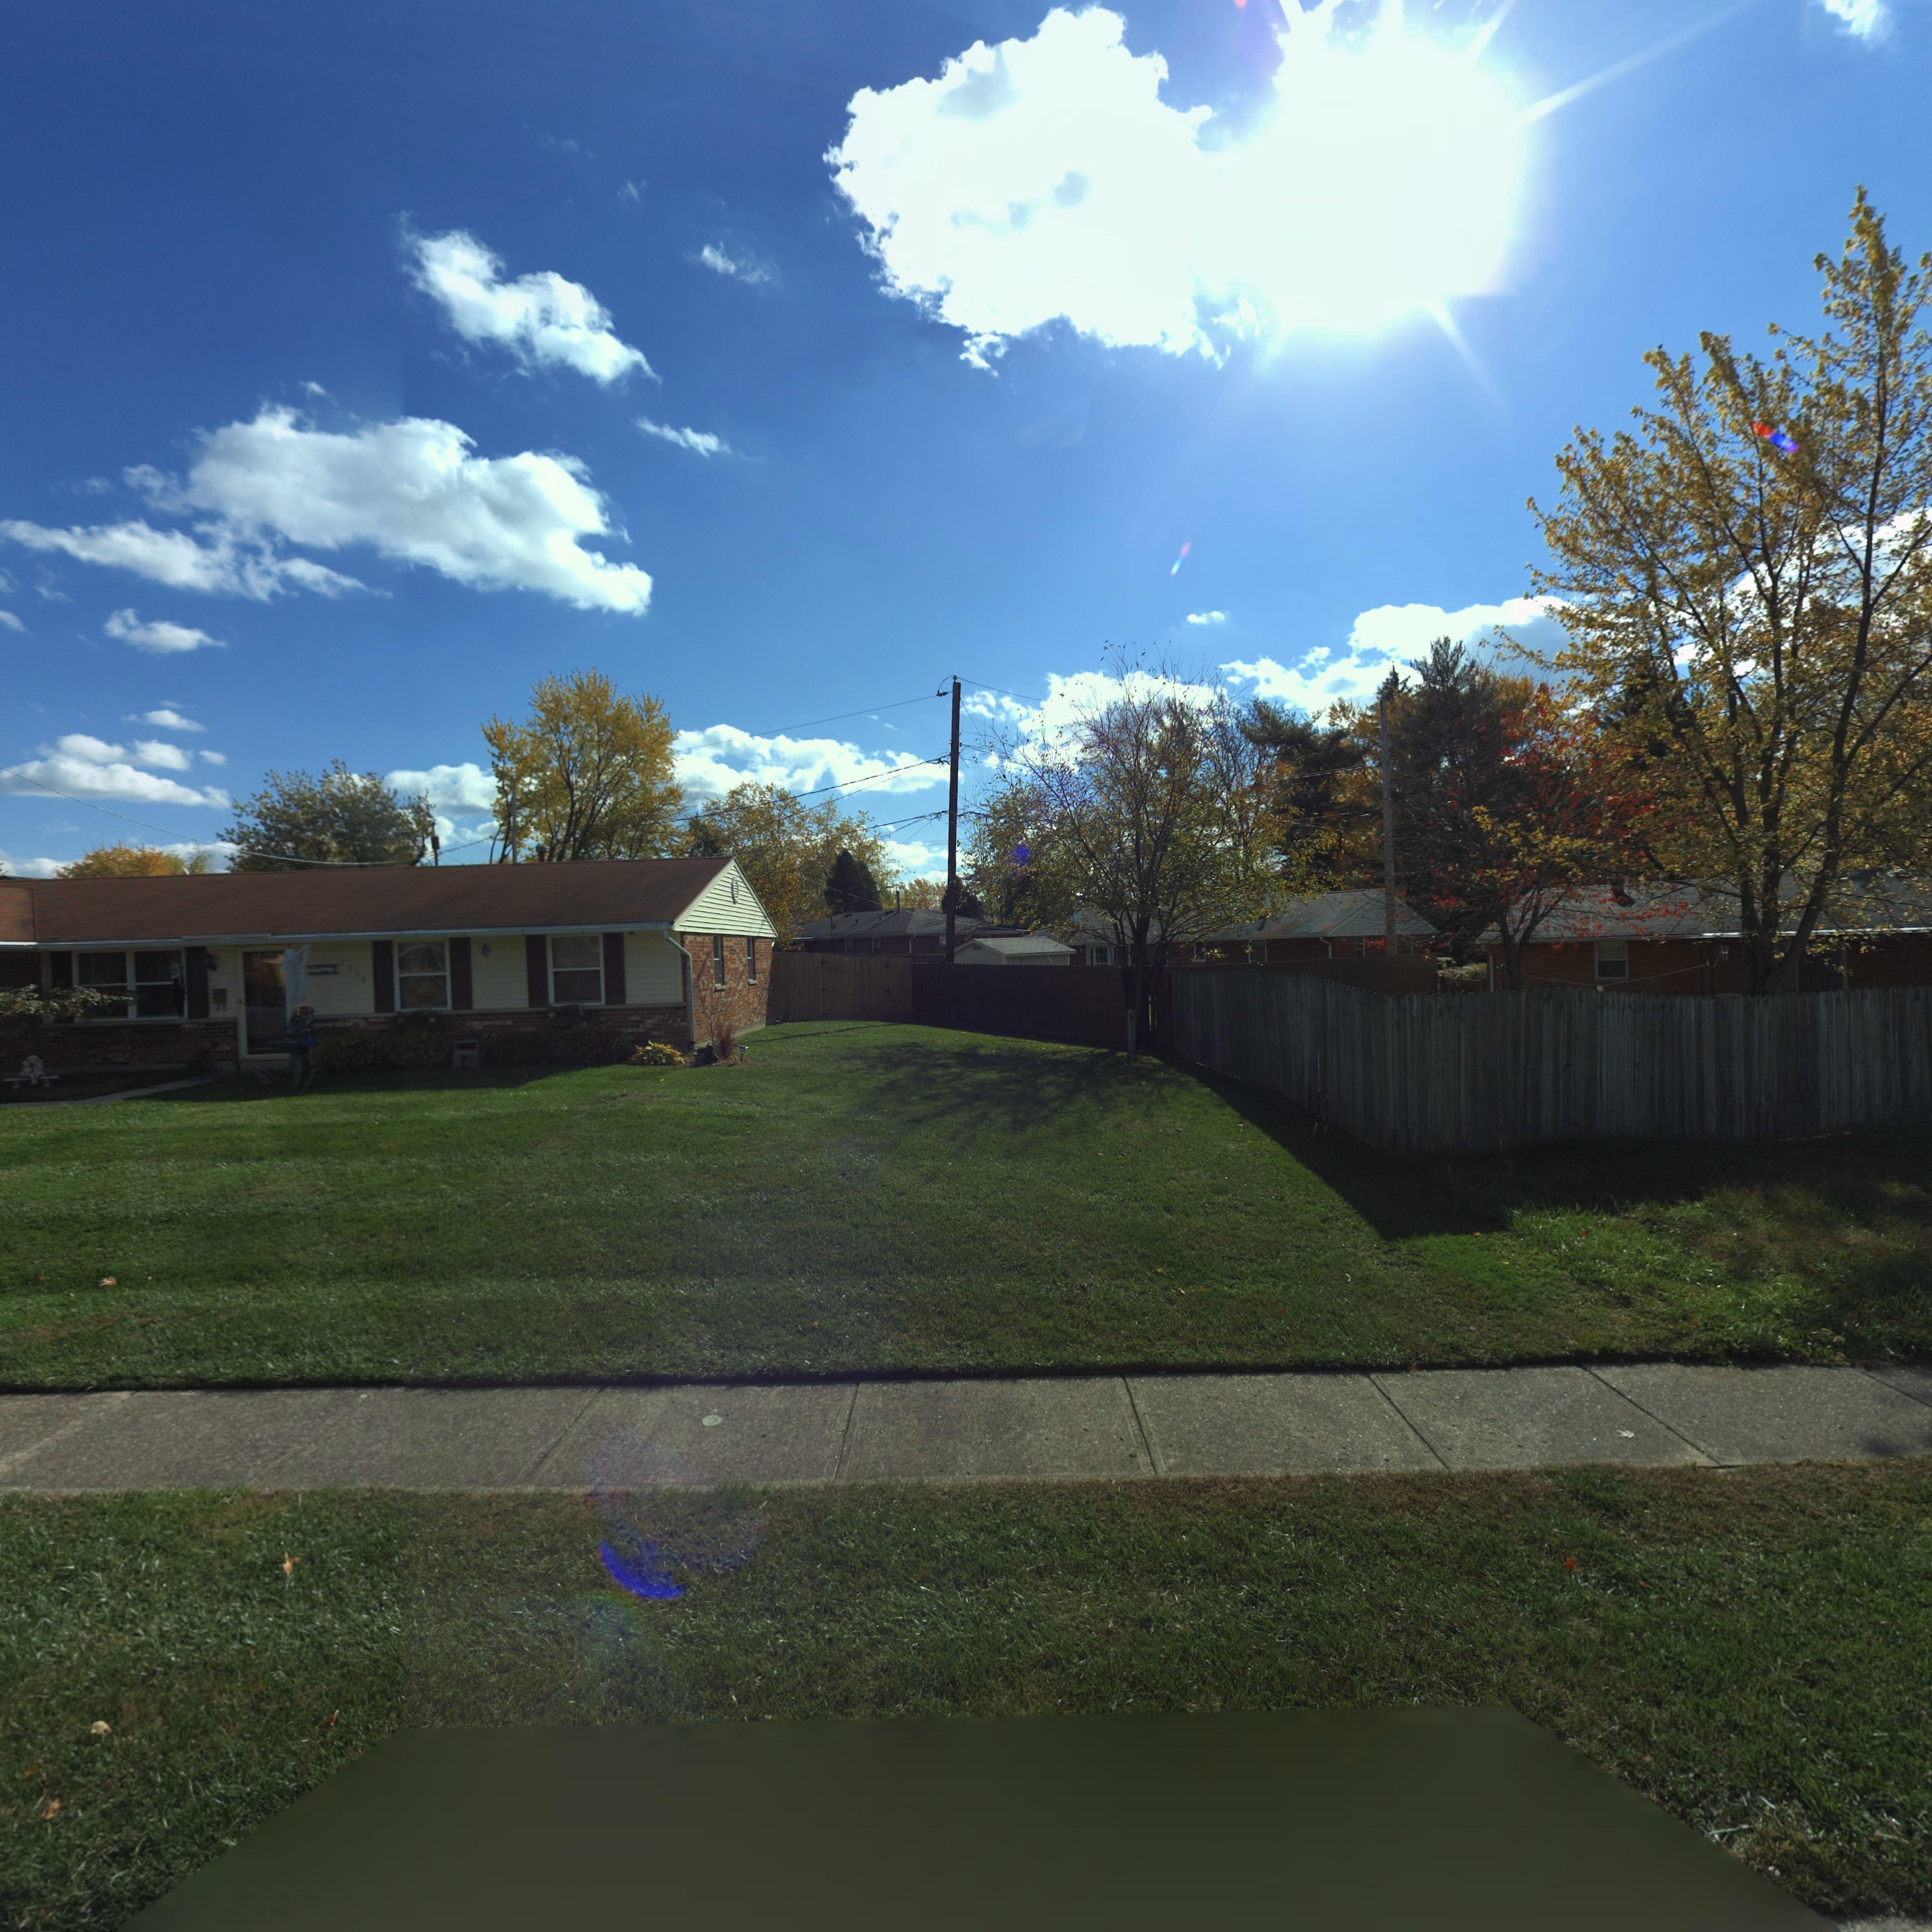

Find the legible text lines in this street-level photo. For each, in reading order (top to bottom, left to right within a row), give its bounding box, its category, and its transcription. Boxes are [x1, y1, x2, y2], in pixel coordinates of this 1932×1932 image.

[339, 959, 367, 982] StreetNumber: 7530